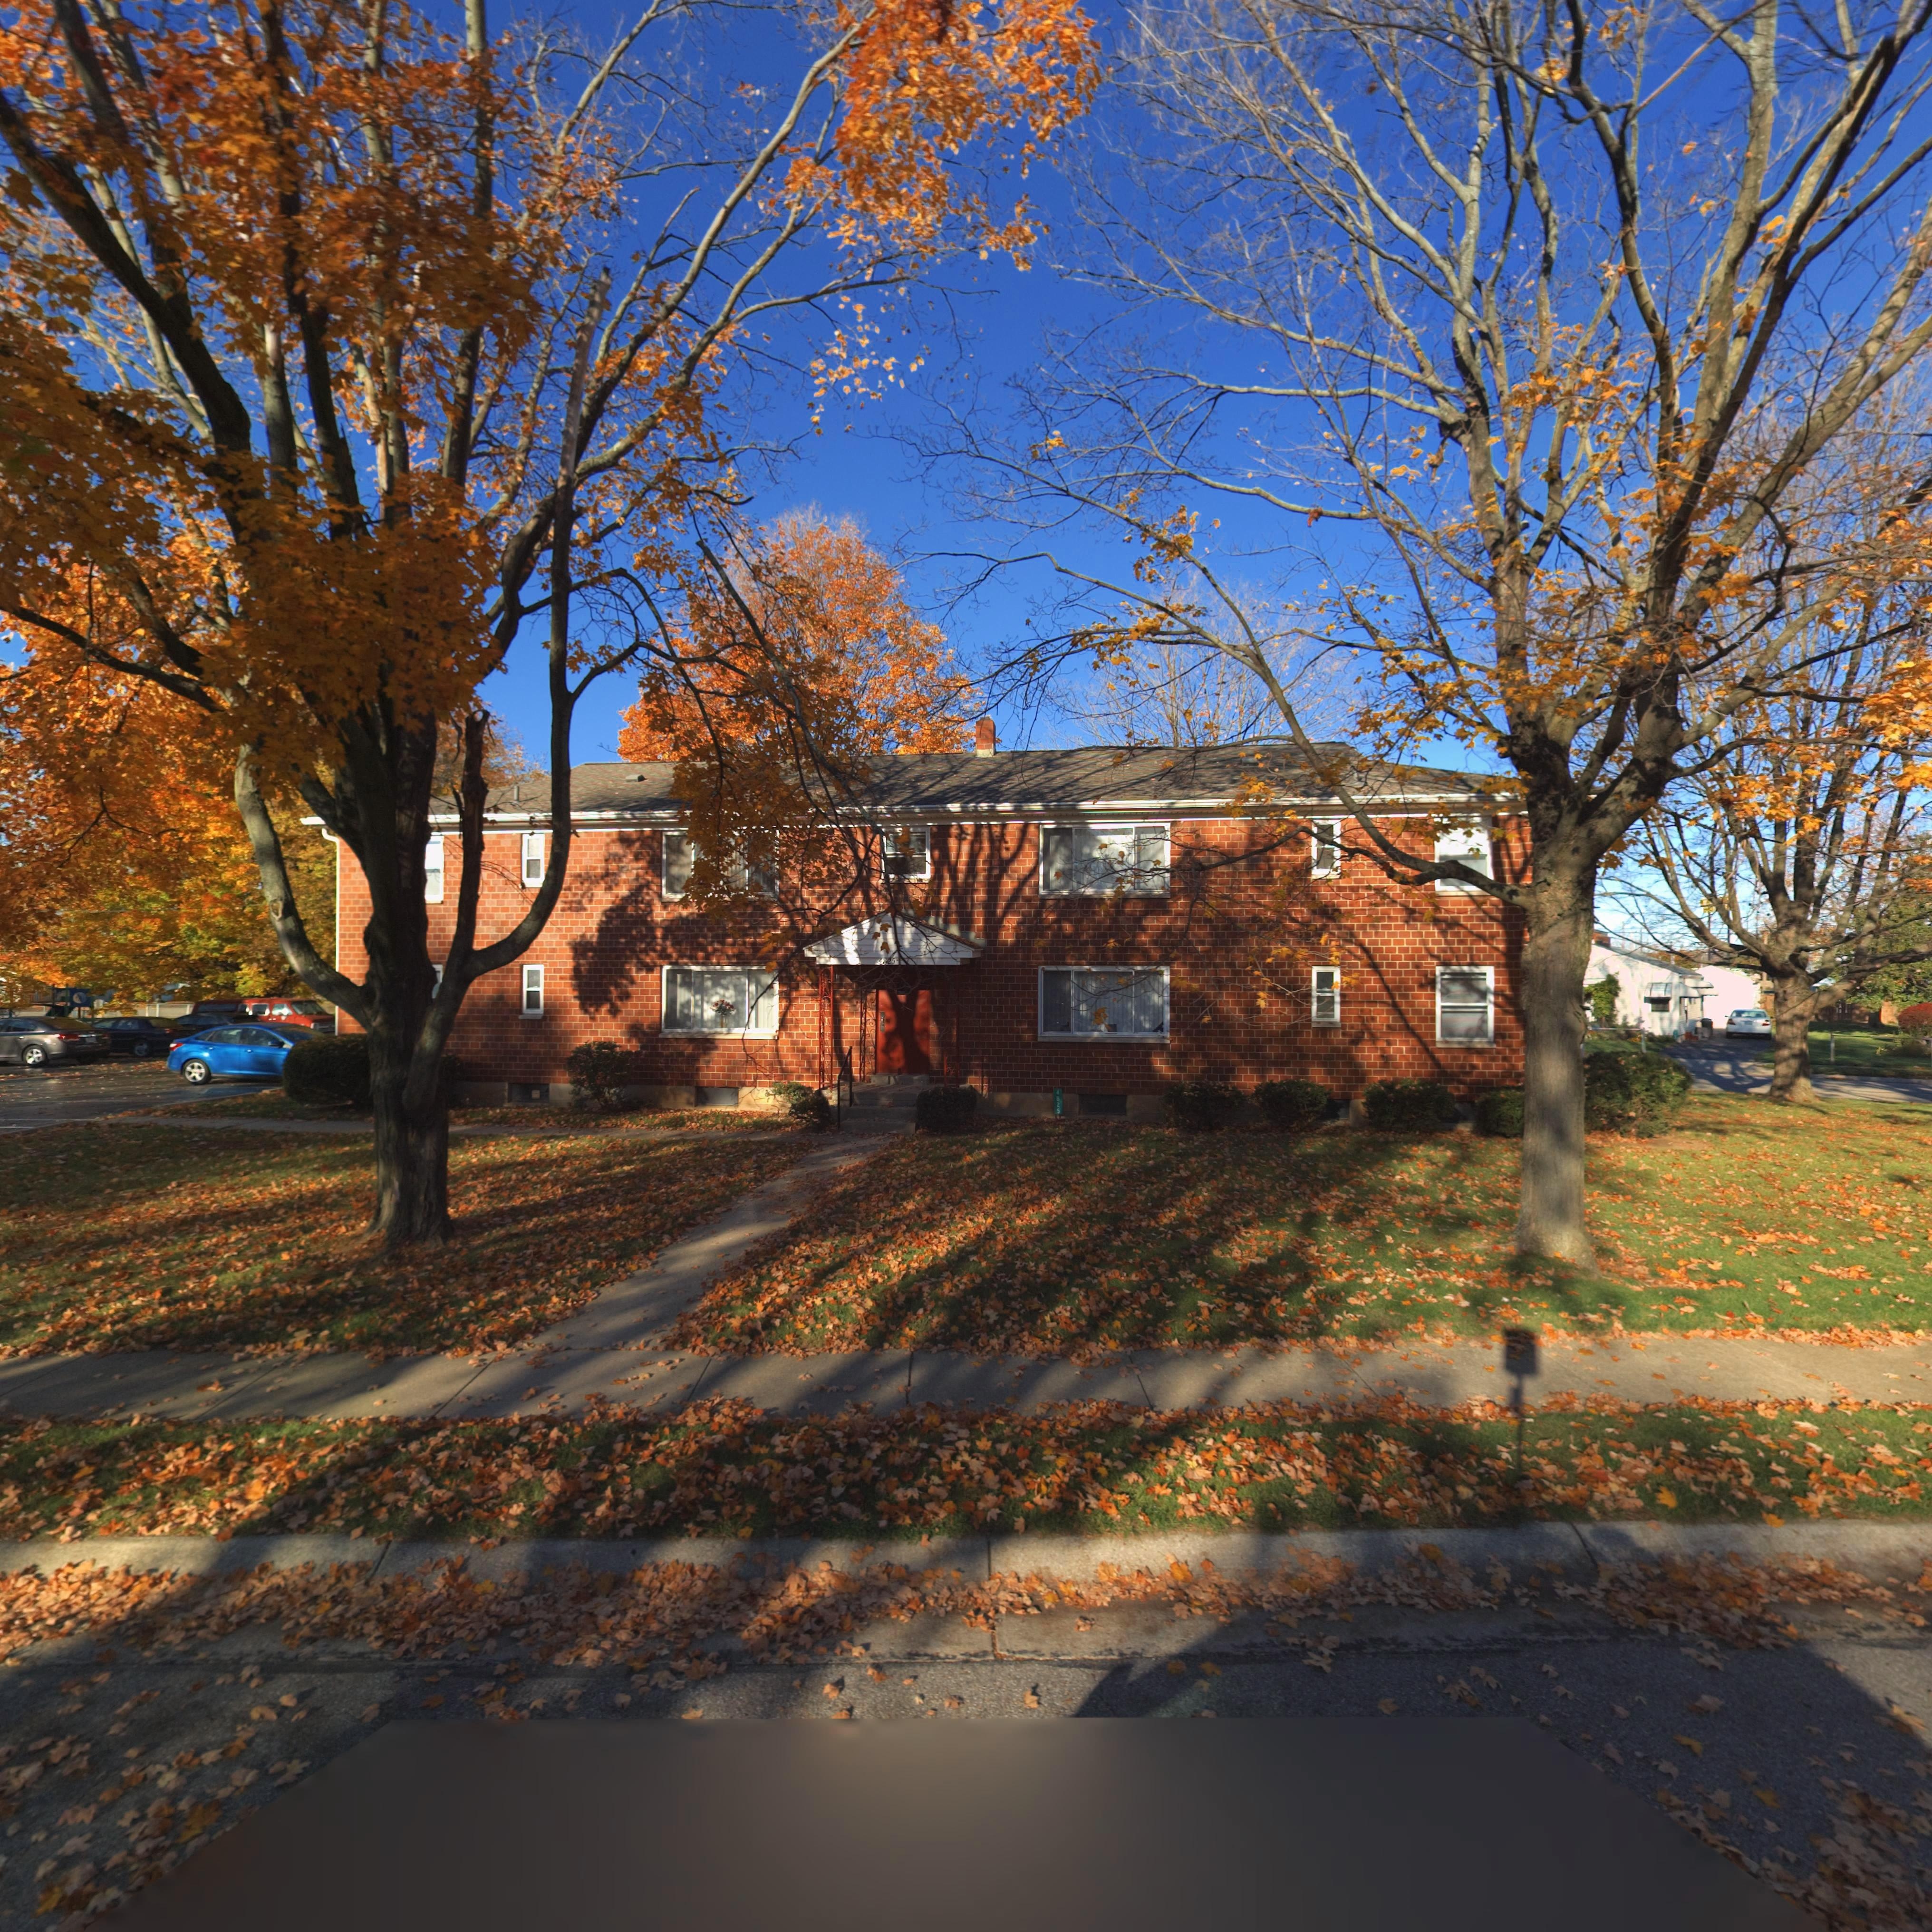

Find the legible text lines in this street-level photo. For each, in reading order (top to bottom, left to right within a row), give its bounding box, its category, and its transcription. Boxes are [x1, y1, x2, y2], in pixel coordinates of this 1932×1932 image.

[1054, 1089, 1061, 1114] StreetNumber: 4825